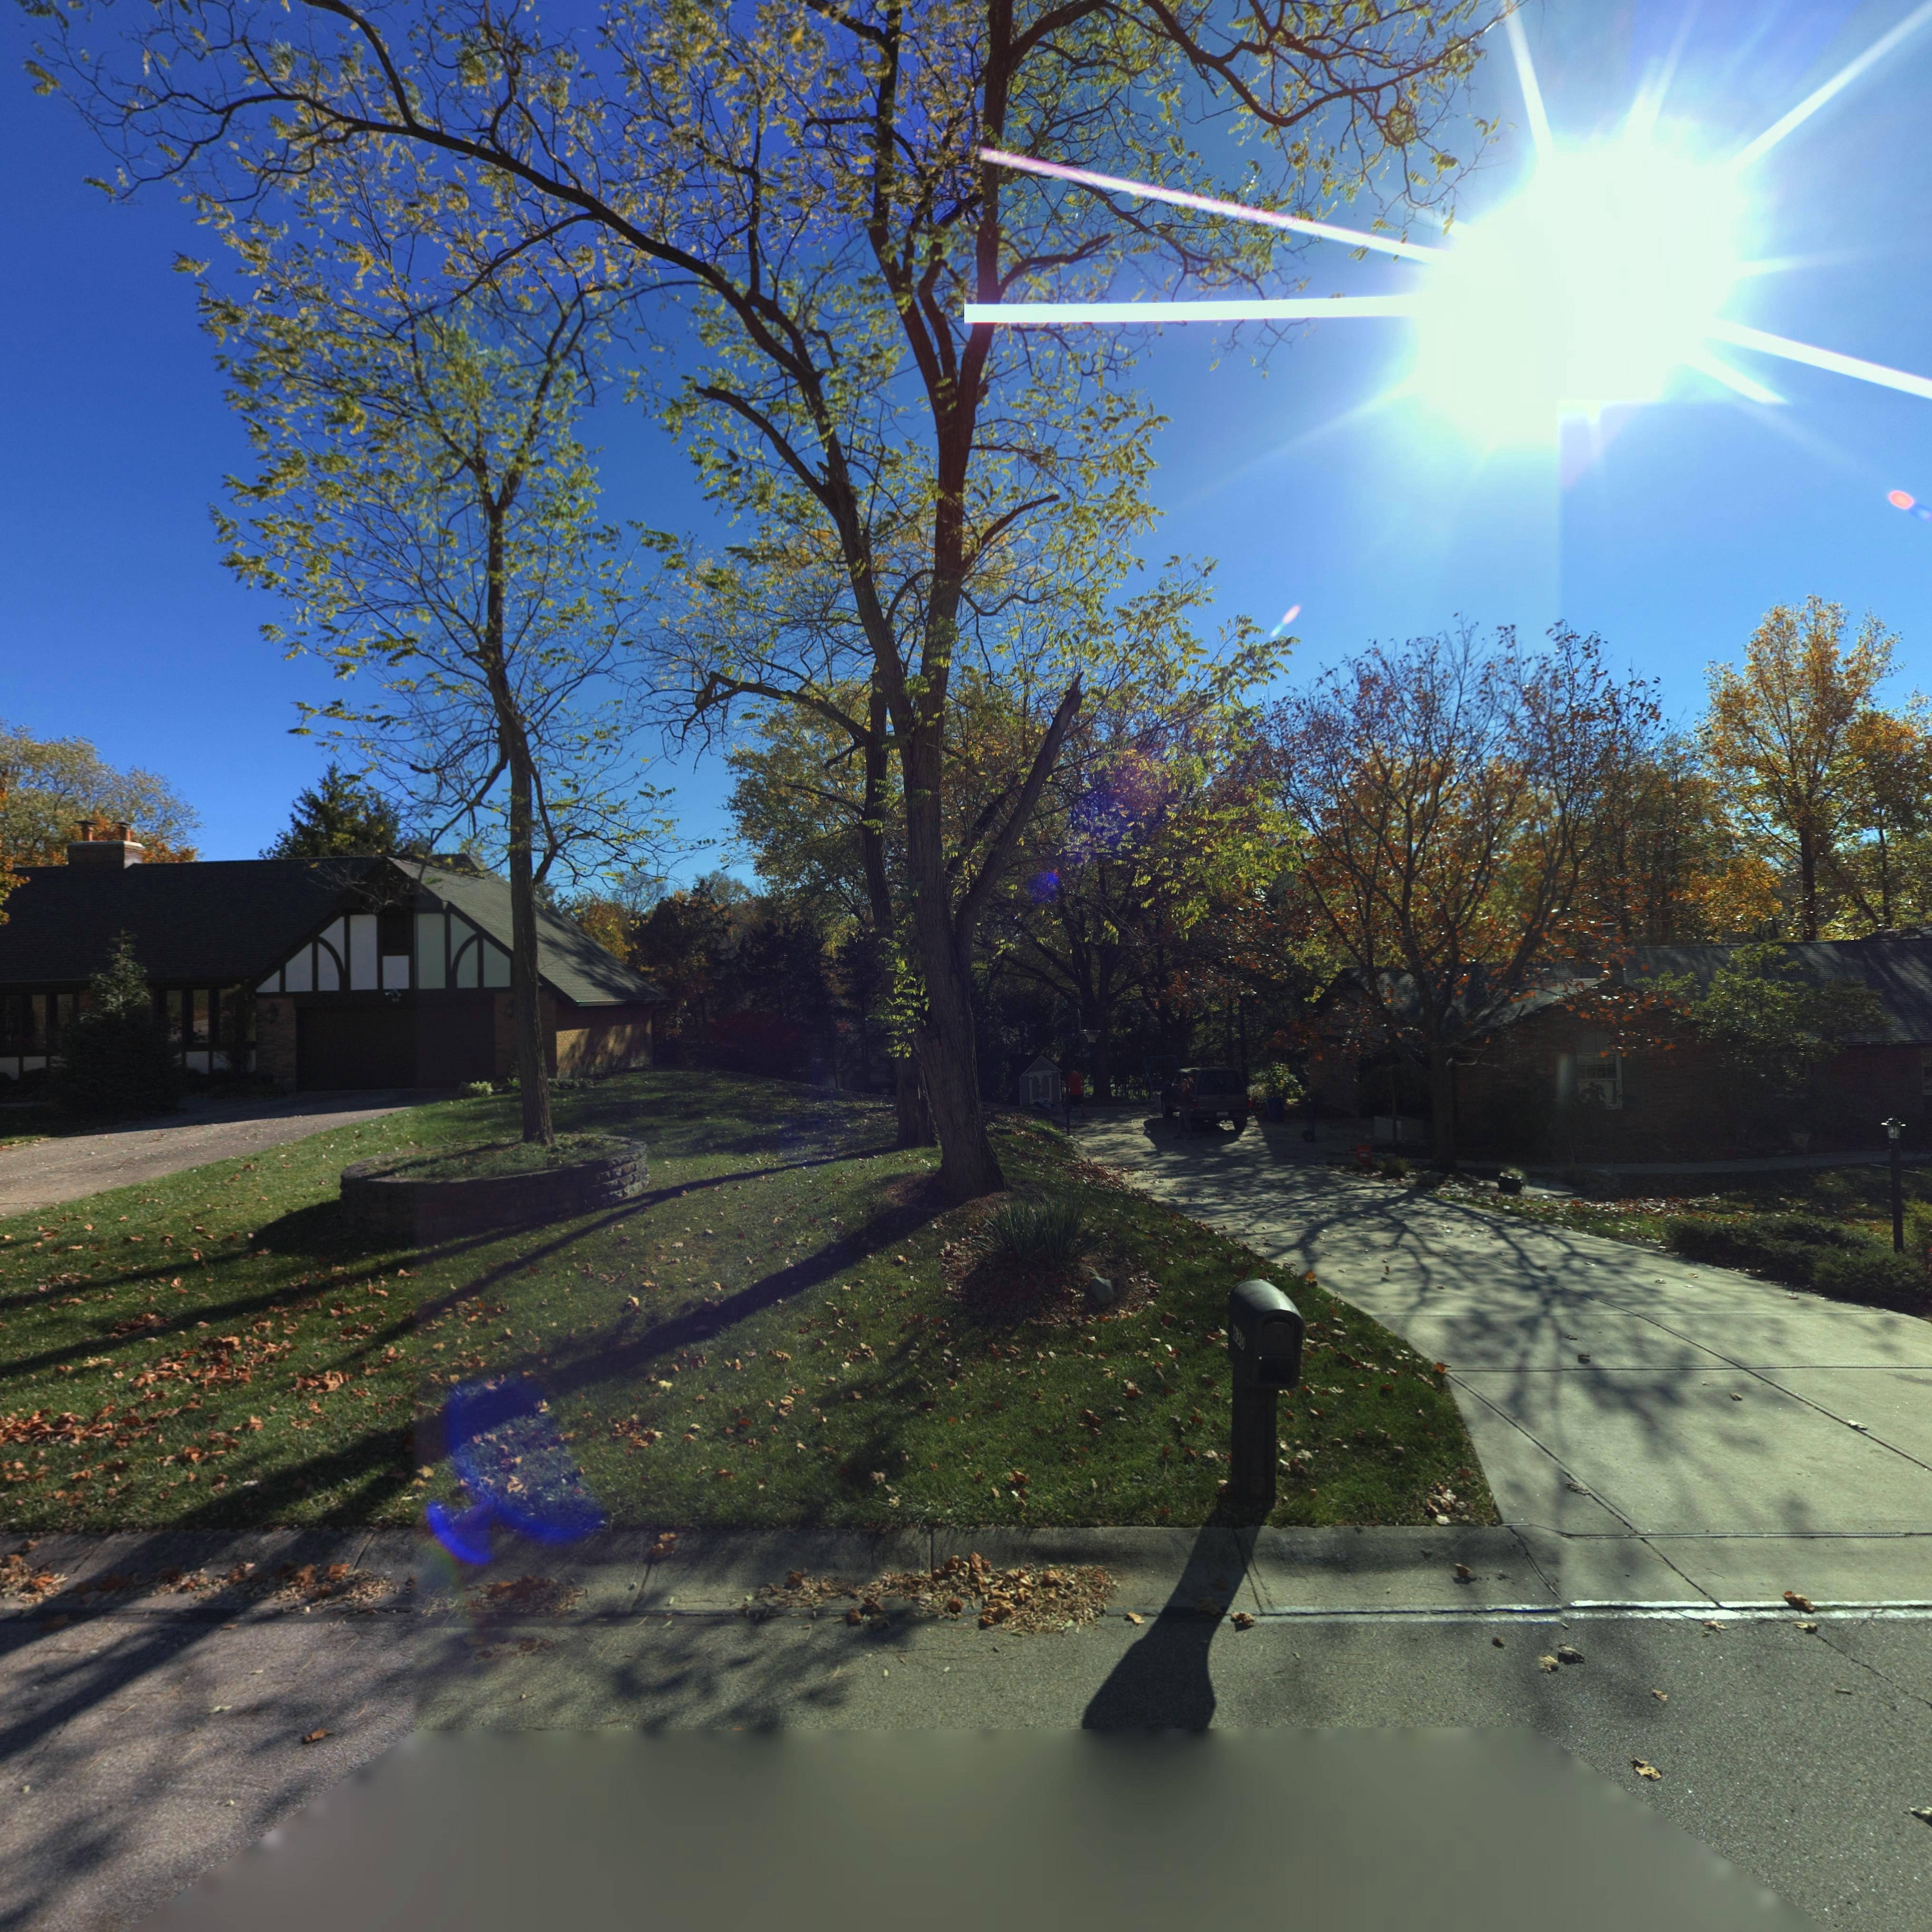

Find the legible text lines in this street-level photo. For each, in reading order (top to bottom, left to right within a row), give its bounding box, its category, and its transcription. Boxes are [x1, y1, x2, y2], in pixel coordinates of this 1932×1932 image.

[1231, 1323, 1246, 1350] StreetNumber: 630